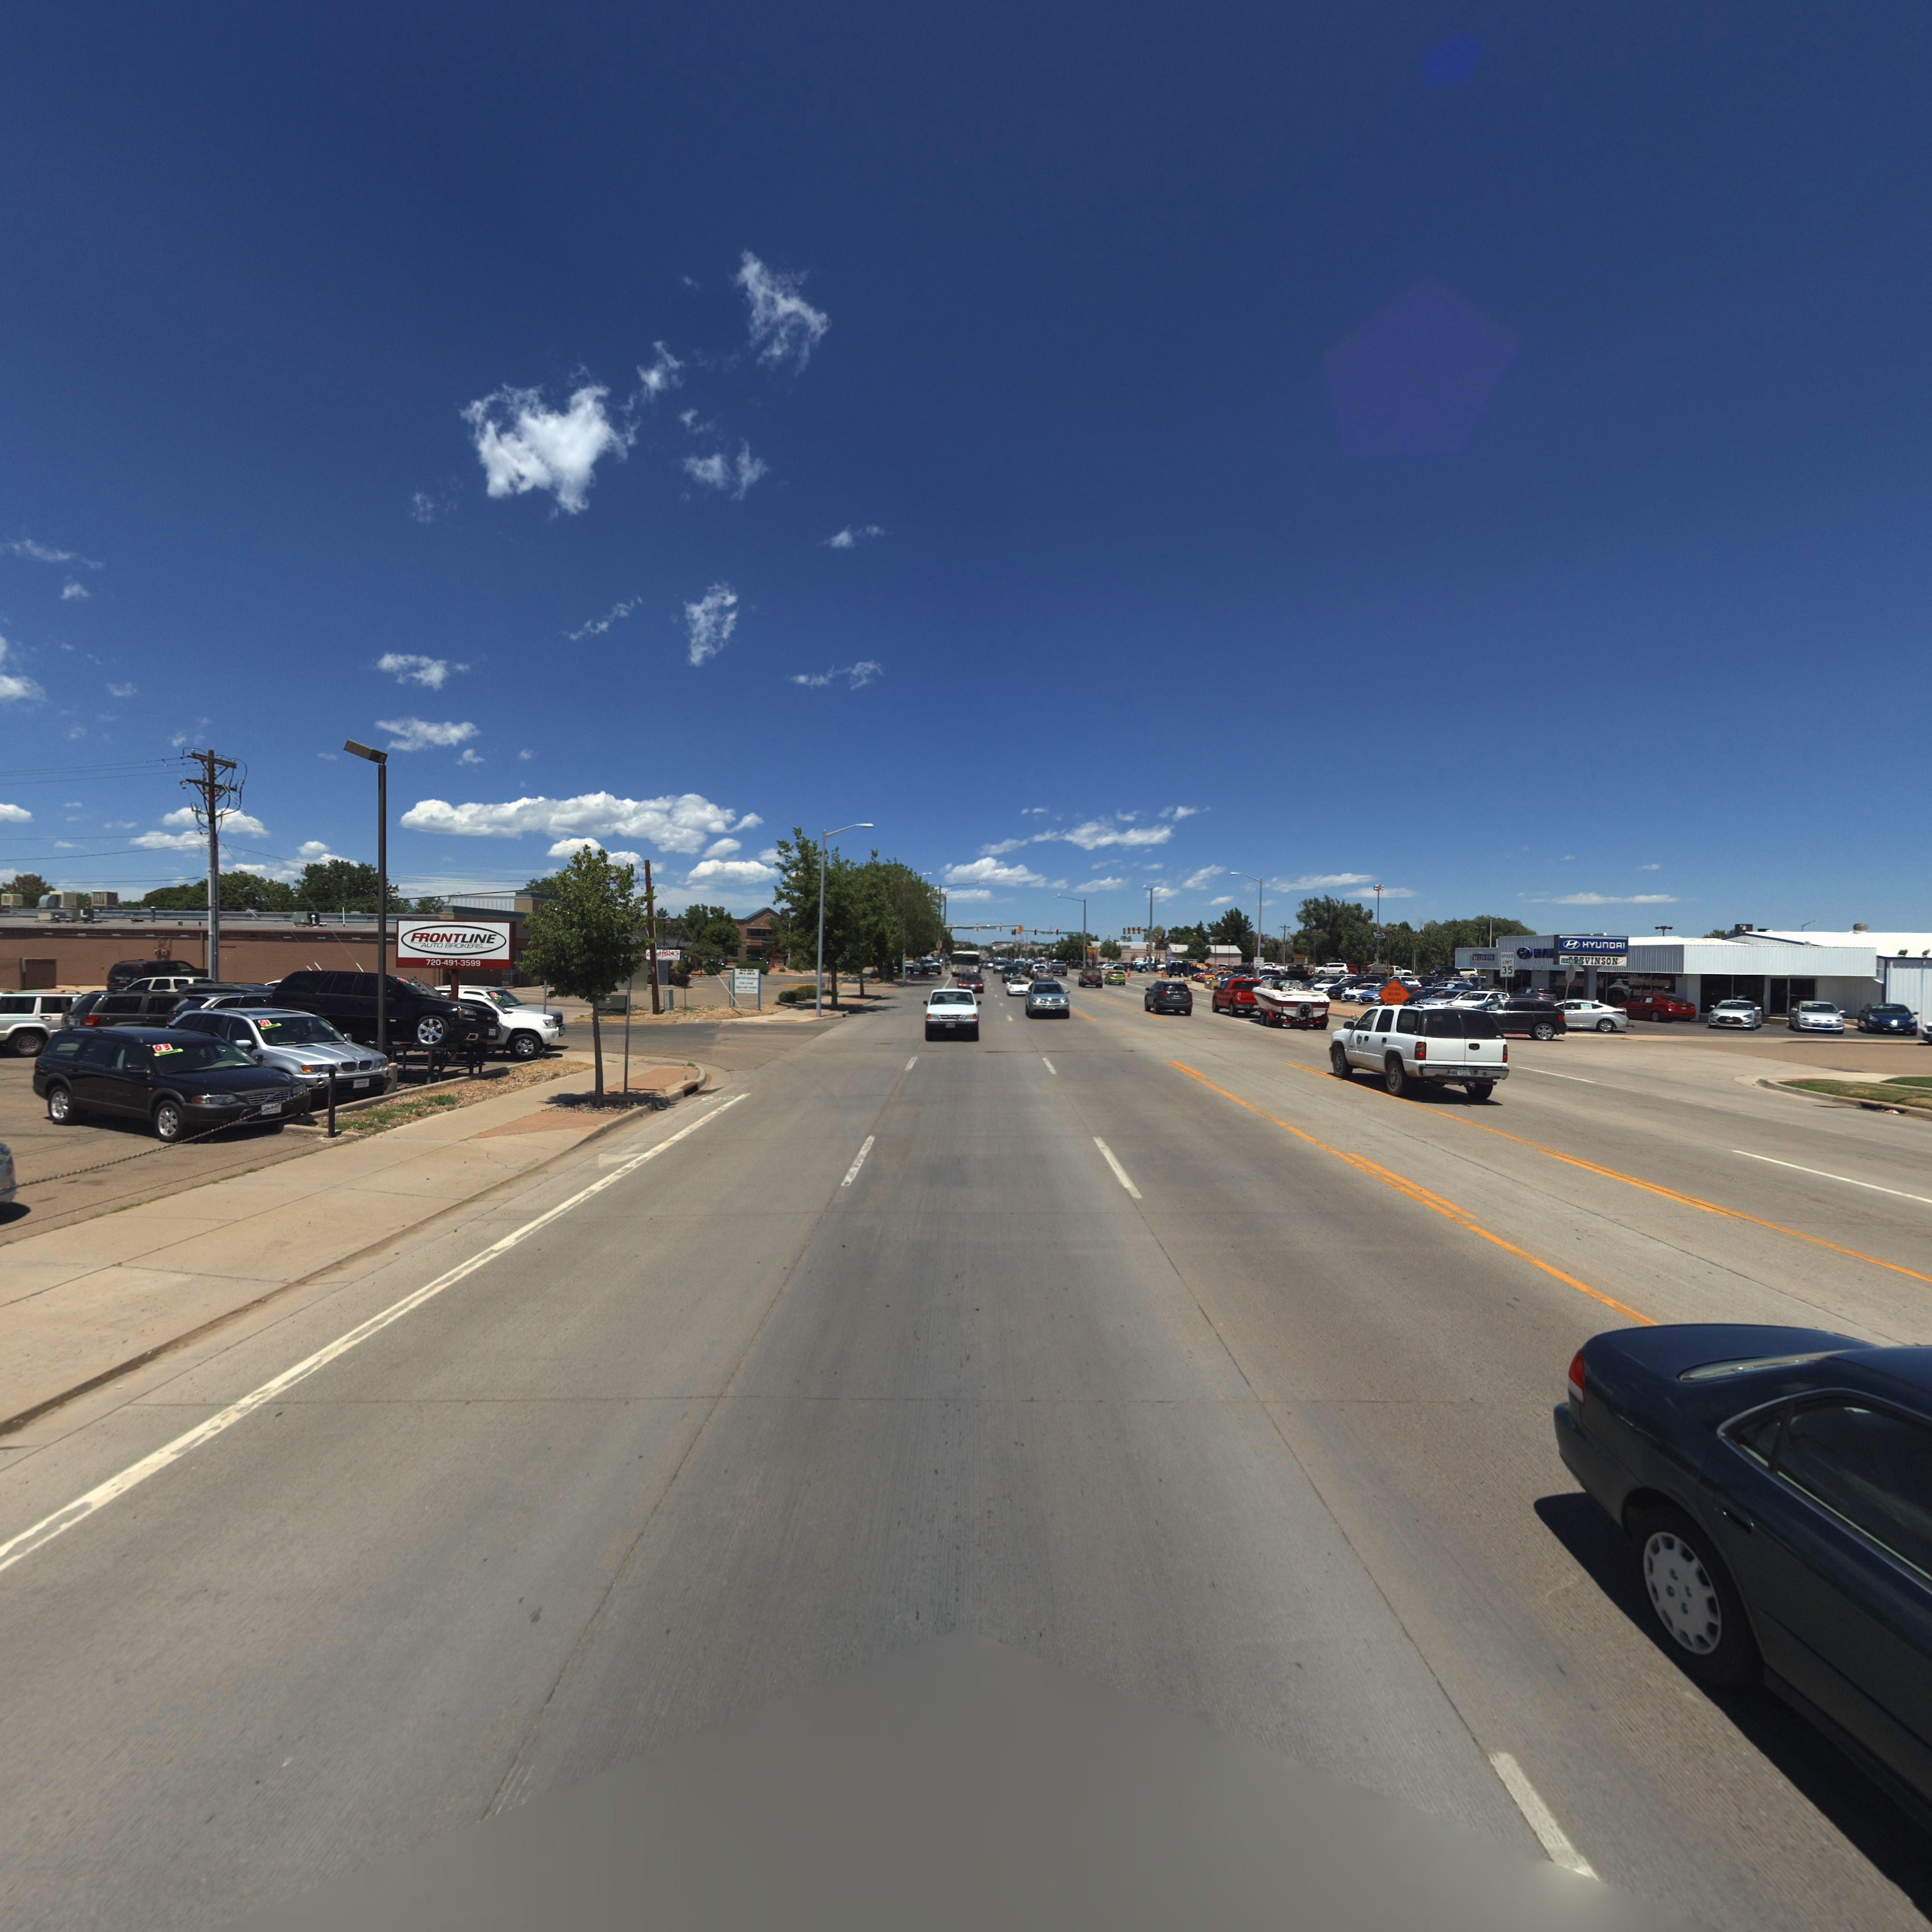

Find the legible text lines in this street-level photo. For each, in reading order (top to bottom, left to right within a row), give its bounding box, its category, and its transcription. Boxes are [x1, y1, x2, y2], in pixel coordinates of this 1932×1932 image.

[410, 932, 497, 943] BusinessName: FRONTLINE
[419, 942, 484, 948] BusinessName: AUTO BROKERS
[1581, 940, 1626, 950] BusinessName: HYUnDAI
[657, 949, 679, 957] BusinessName: dfella*s
[1471, 953, 1496, 962] BusinessName: STEVINSON
[1561, 957, 1583, 964] StreetName: GRAND AV
[1584, 956, 1618, 965] BusinessName: VINSON